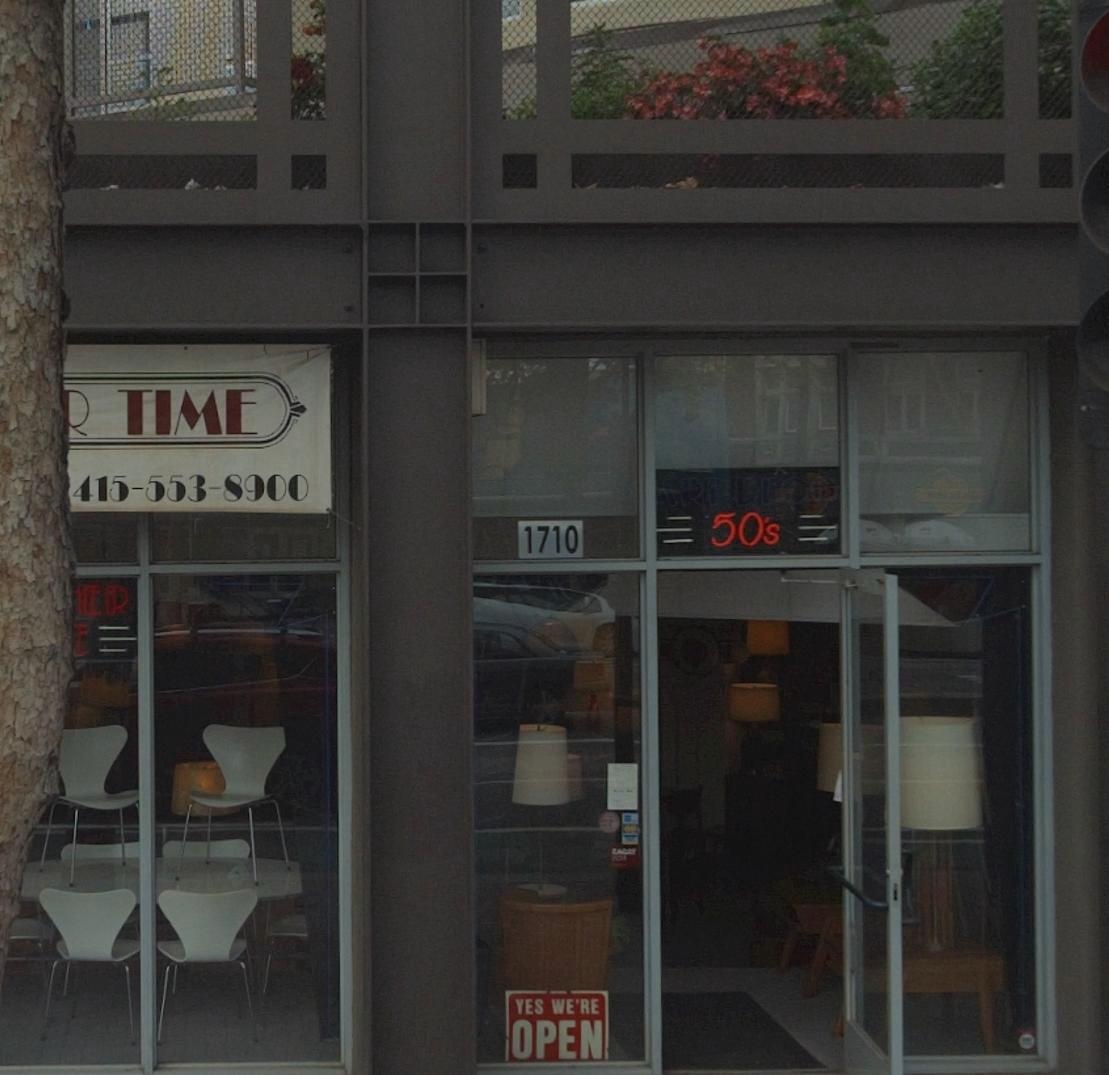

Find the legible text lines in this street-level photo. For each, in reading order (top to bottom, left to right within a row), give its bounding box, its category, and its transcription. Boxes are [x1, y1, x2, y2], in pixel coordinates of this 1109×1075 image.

[61, 387, 259, 437] BusinessName: R TIME
[69, 472, 308, 502] None: 415-553-8900
[521, 523, 580, 556] StreetNumber: 1710
[709, 509, 780, 547] None: 50's
[81, 581, 130, 618] None: ER
[511, 995, 600, 1015] None: YES WE'RE
[511, 1018, 604, 1061] None: OPEN